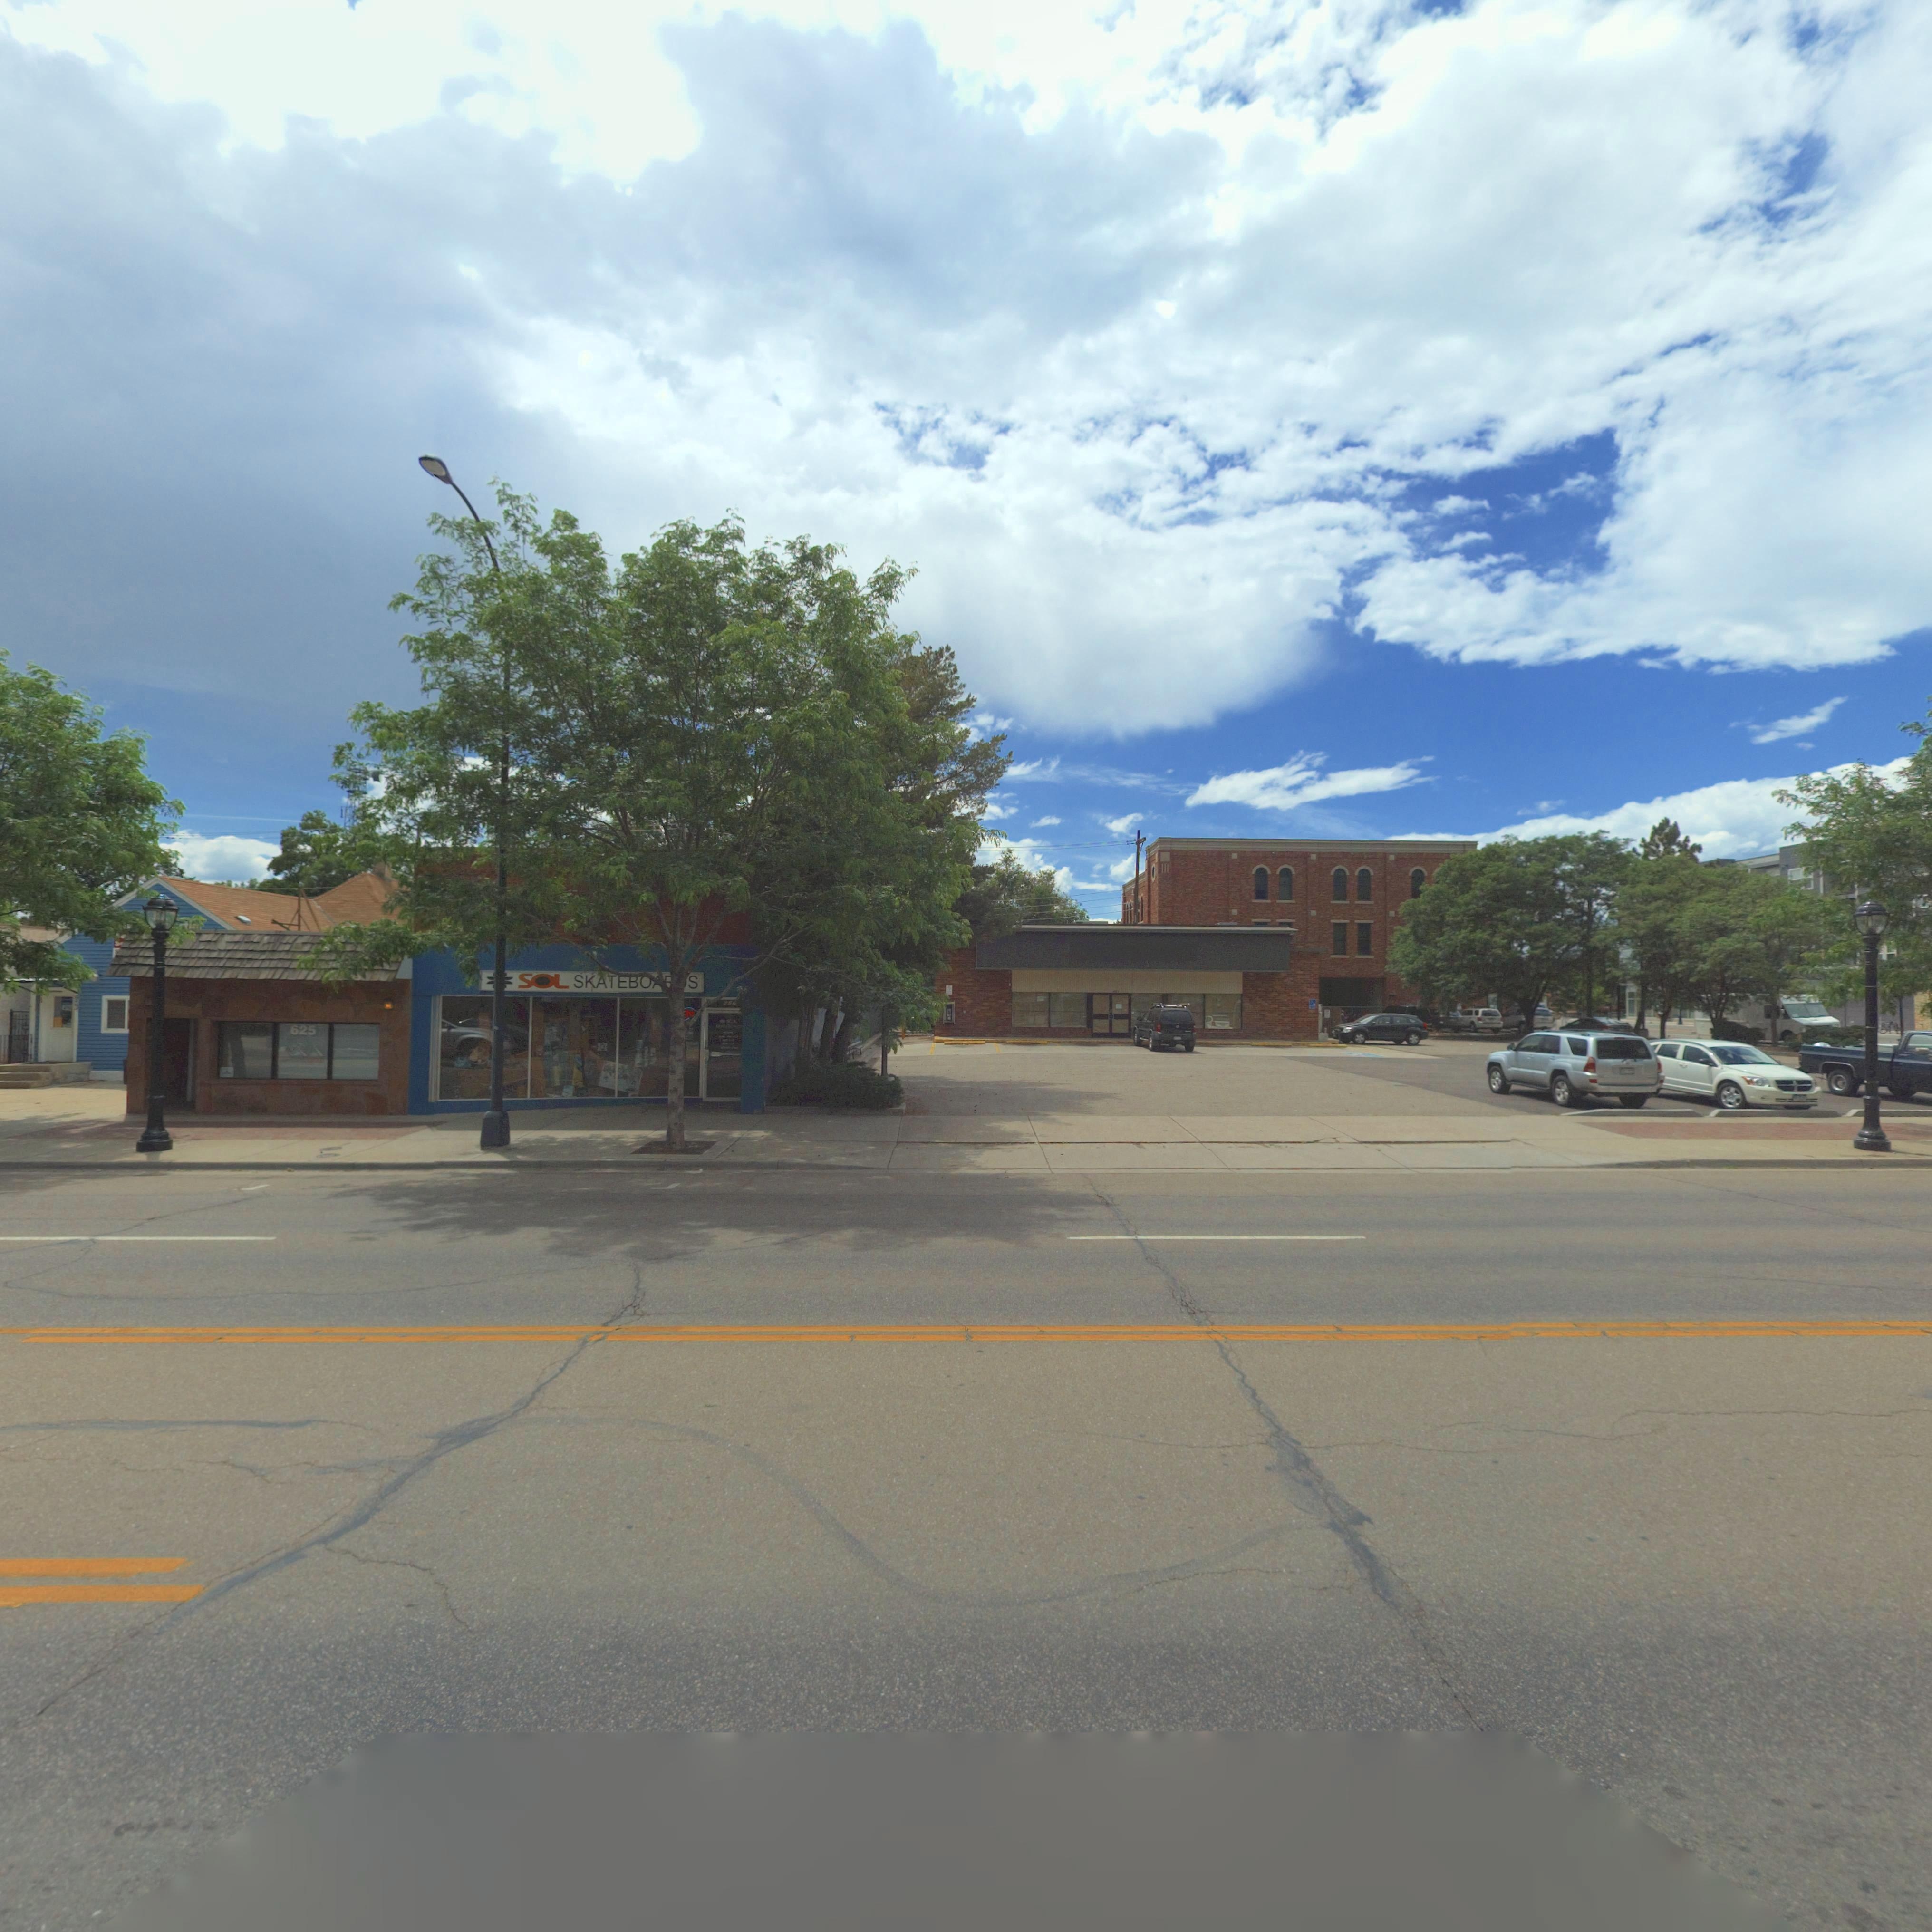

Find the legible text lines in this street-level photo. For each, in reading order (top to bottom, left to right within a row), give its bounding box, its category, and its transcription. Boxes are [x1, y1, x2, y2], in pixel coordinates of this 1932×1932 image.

[517, 972, 700, 989] BusinessName: SOL SKATEBO***S
[289, 1024, 317, 1036] StreetNumber: 625